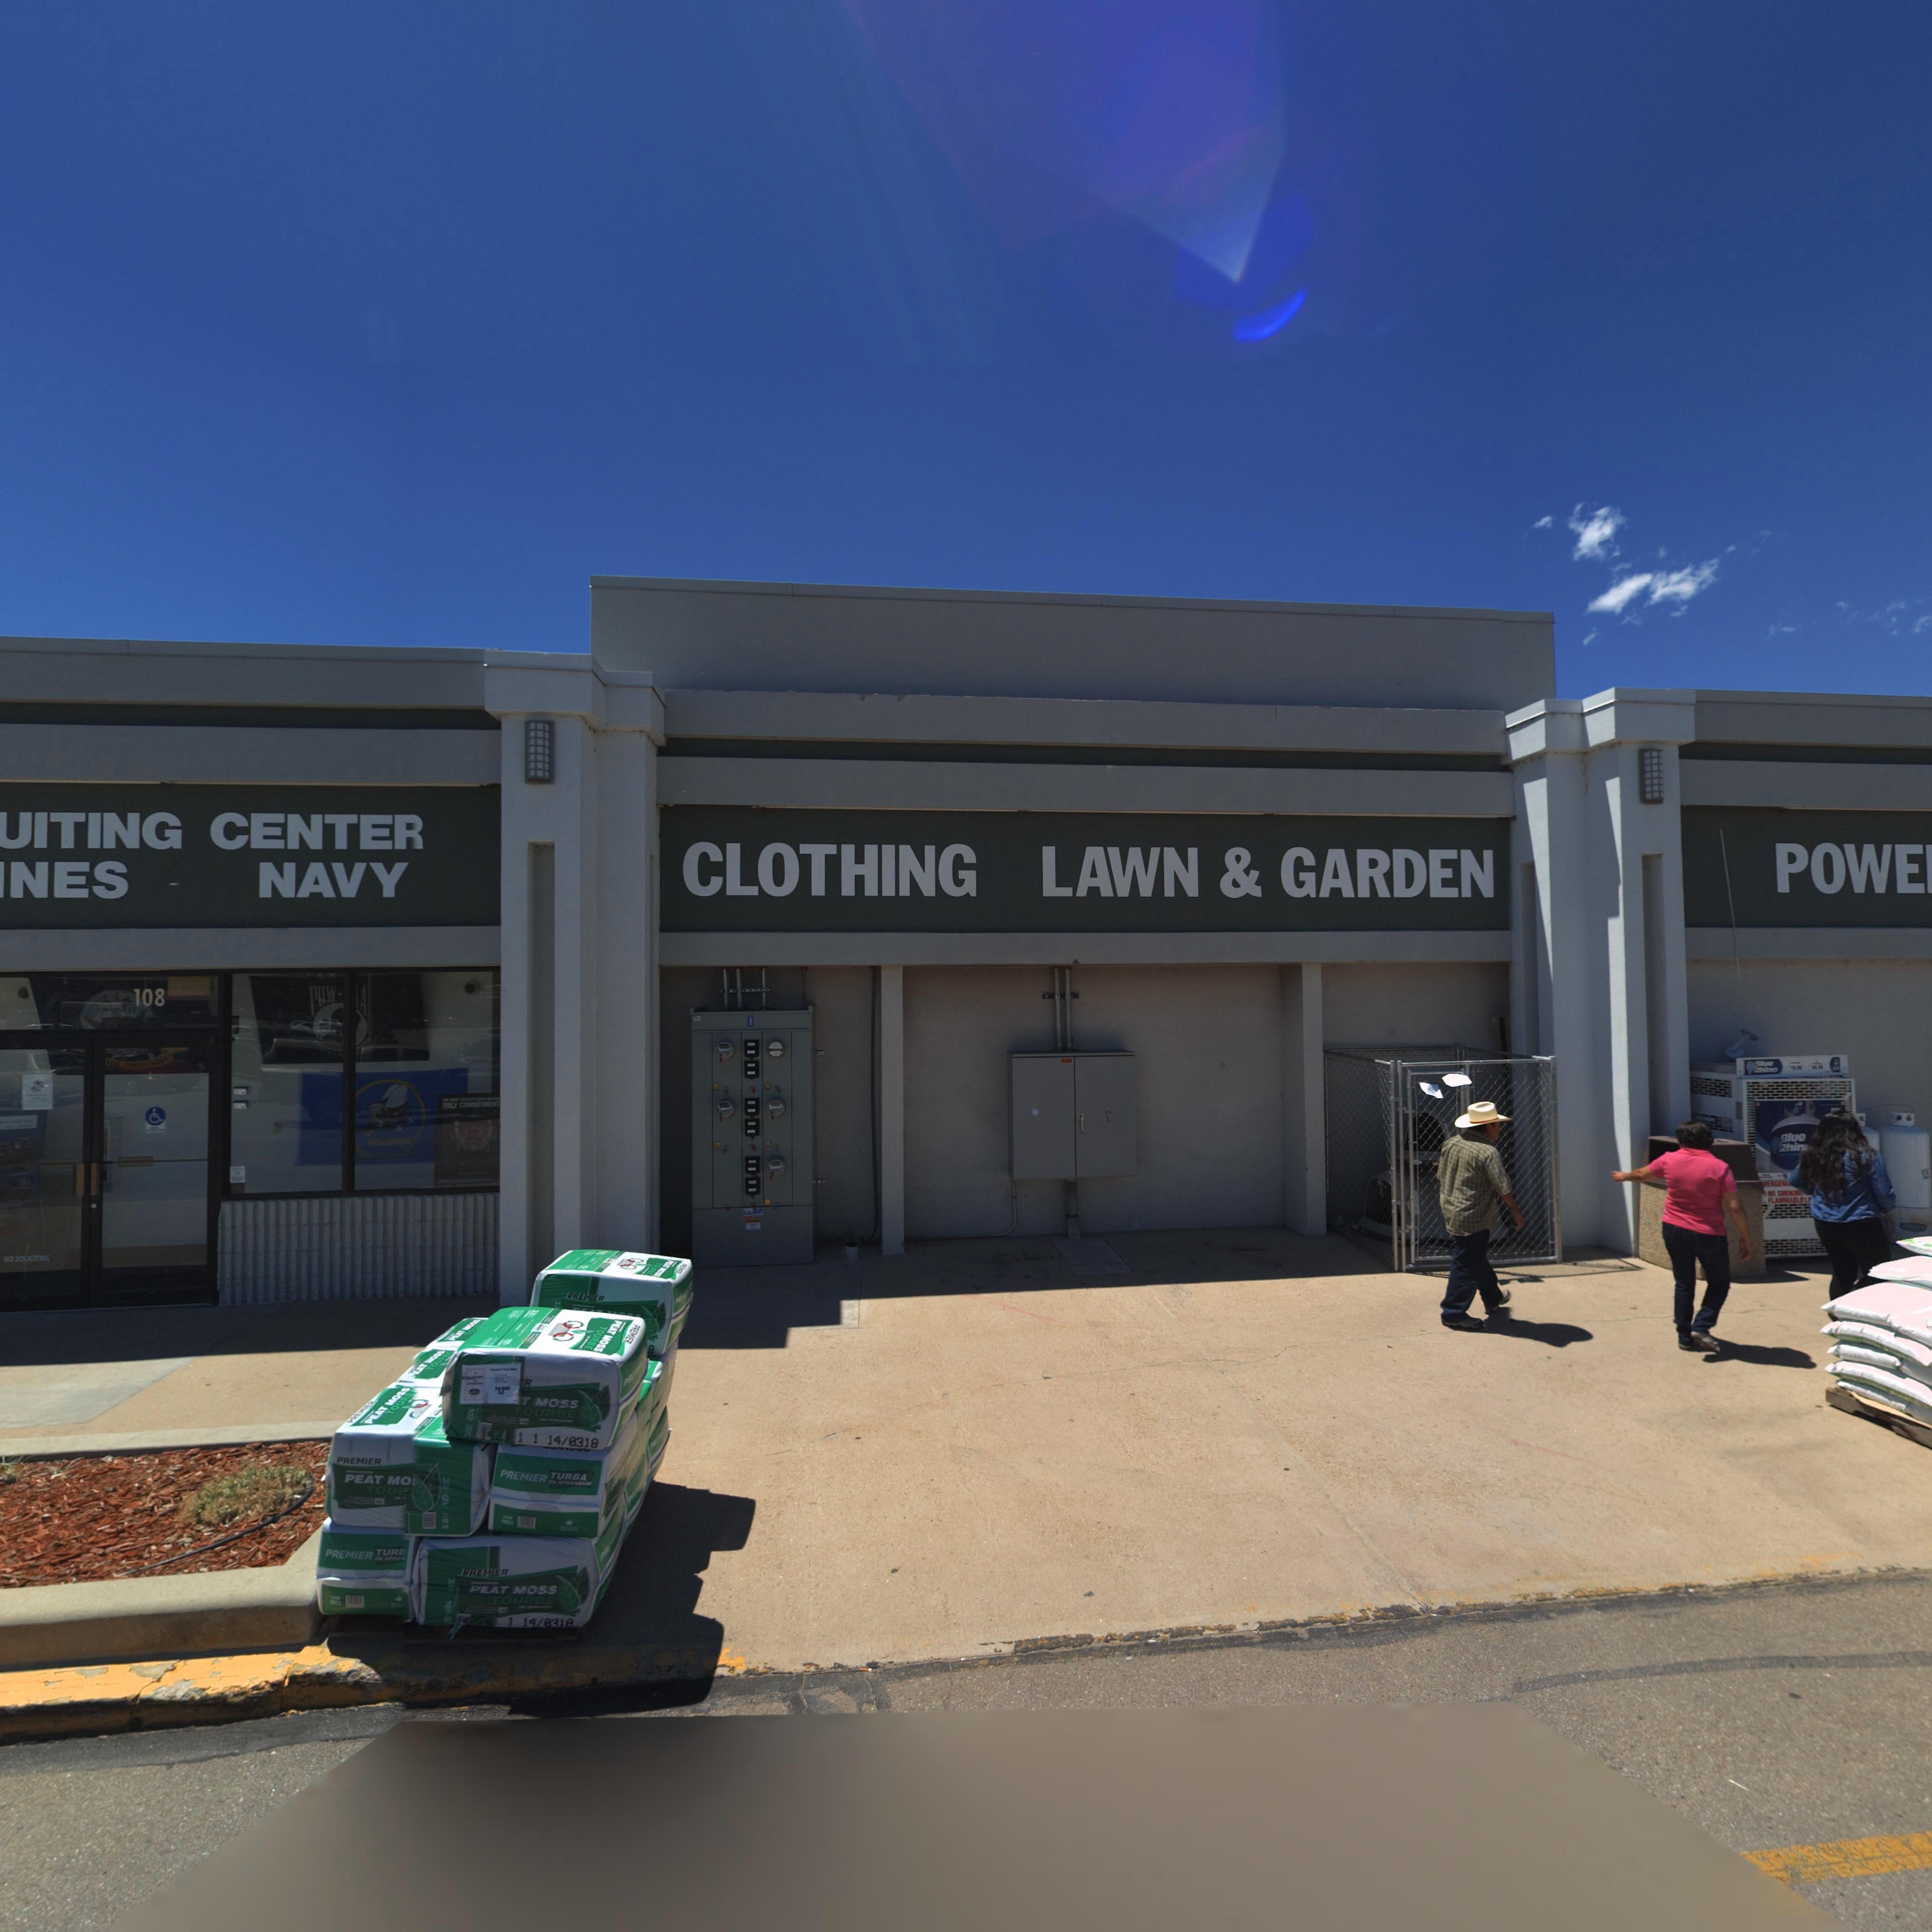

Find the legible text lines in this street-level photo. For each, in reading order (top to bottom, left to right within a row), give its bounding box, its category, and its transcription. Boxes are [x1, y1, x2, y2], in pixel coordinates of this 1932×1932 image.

[33, 811, 424, 850] BusinessName: ITING CENTER
[9, 860, 410, 899] BusinessName: NES NAVY
[133, 987, 165, 1007] StreetNumber: 108